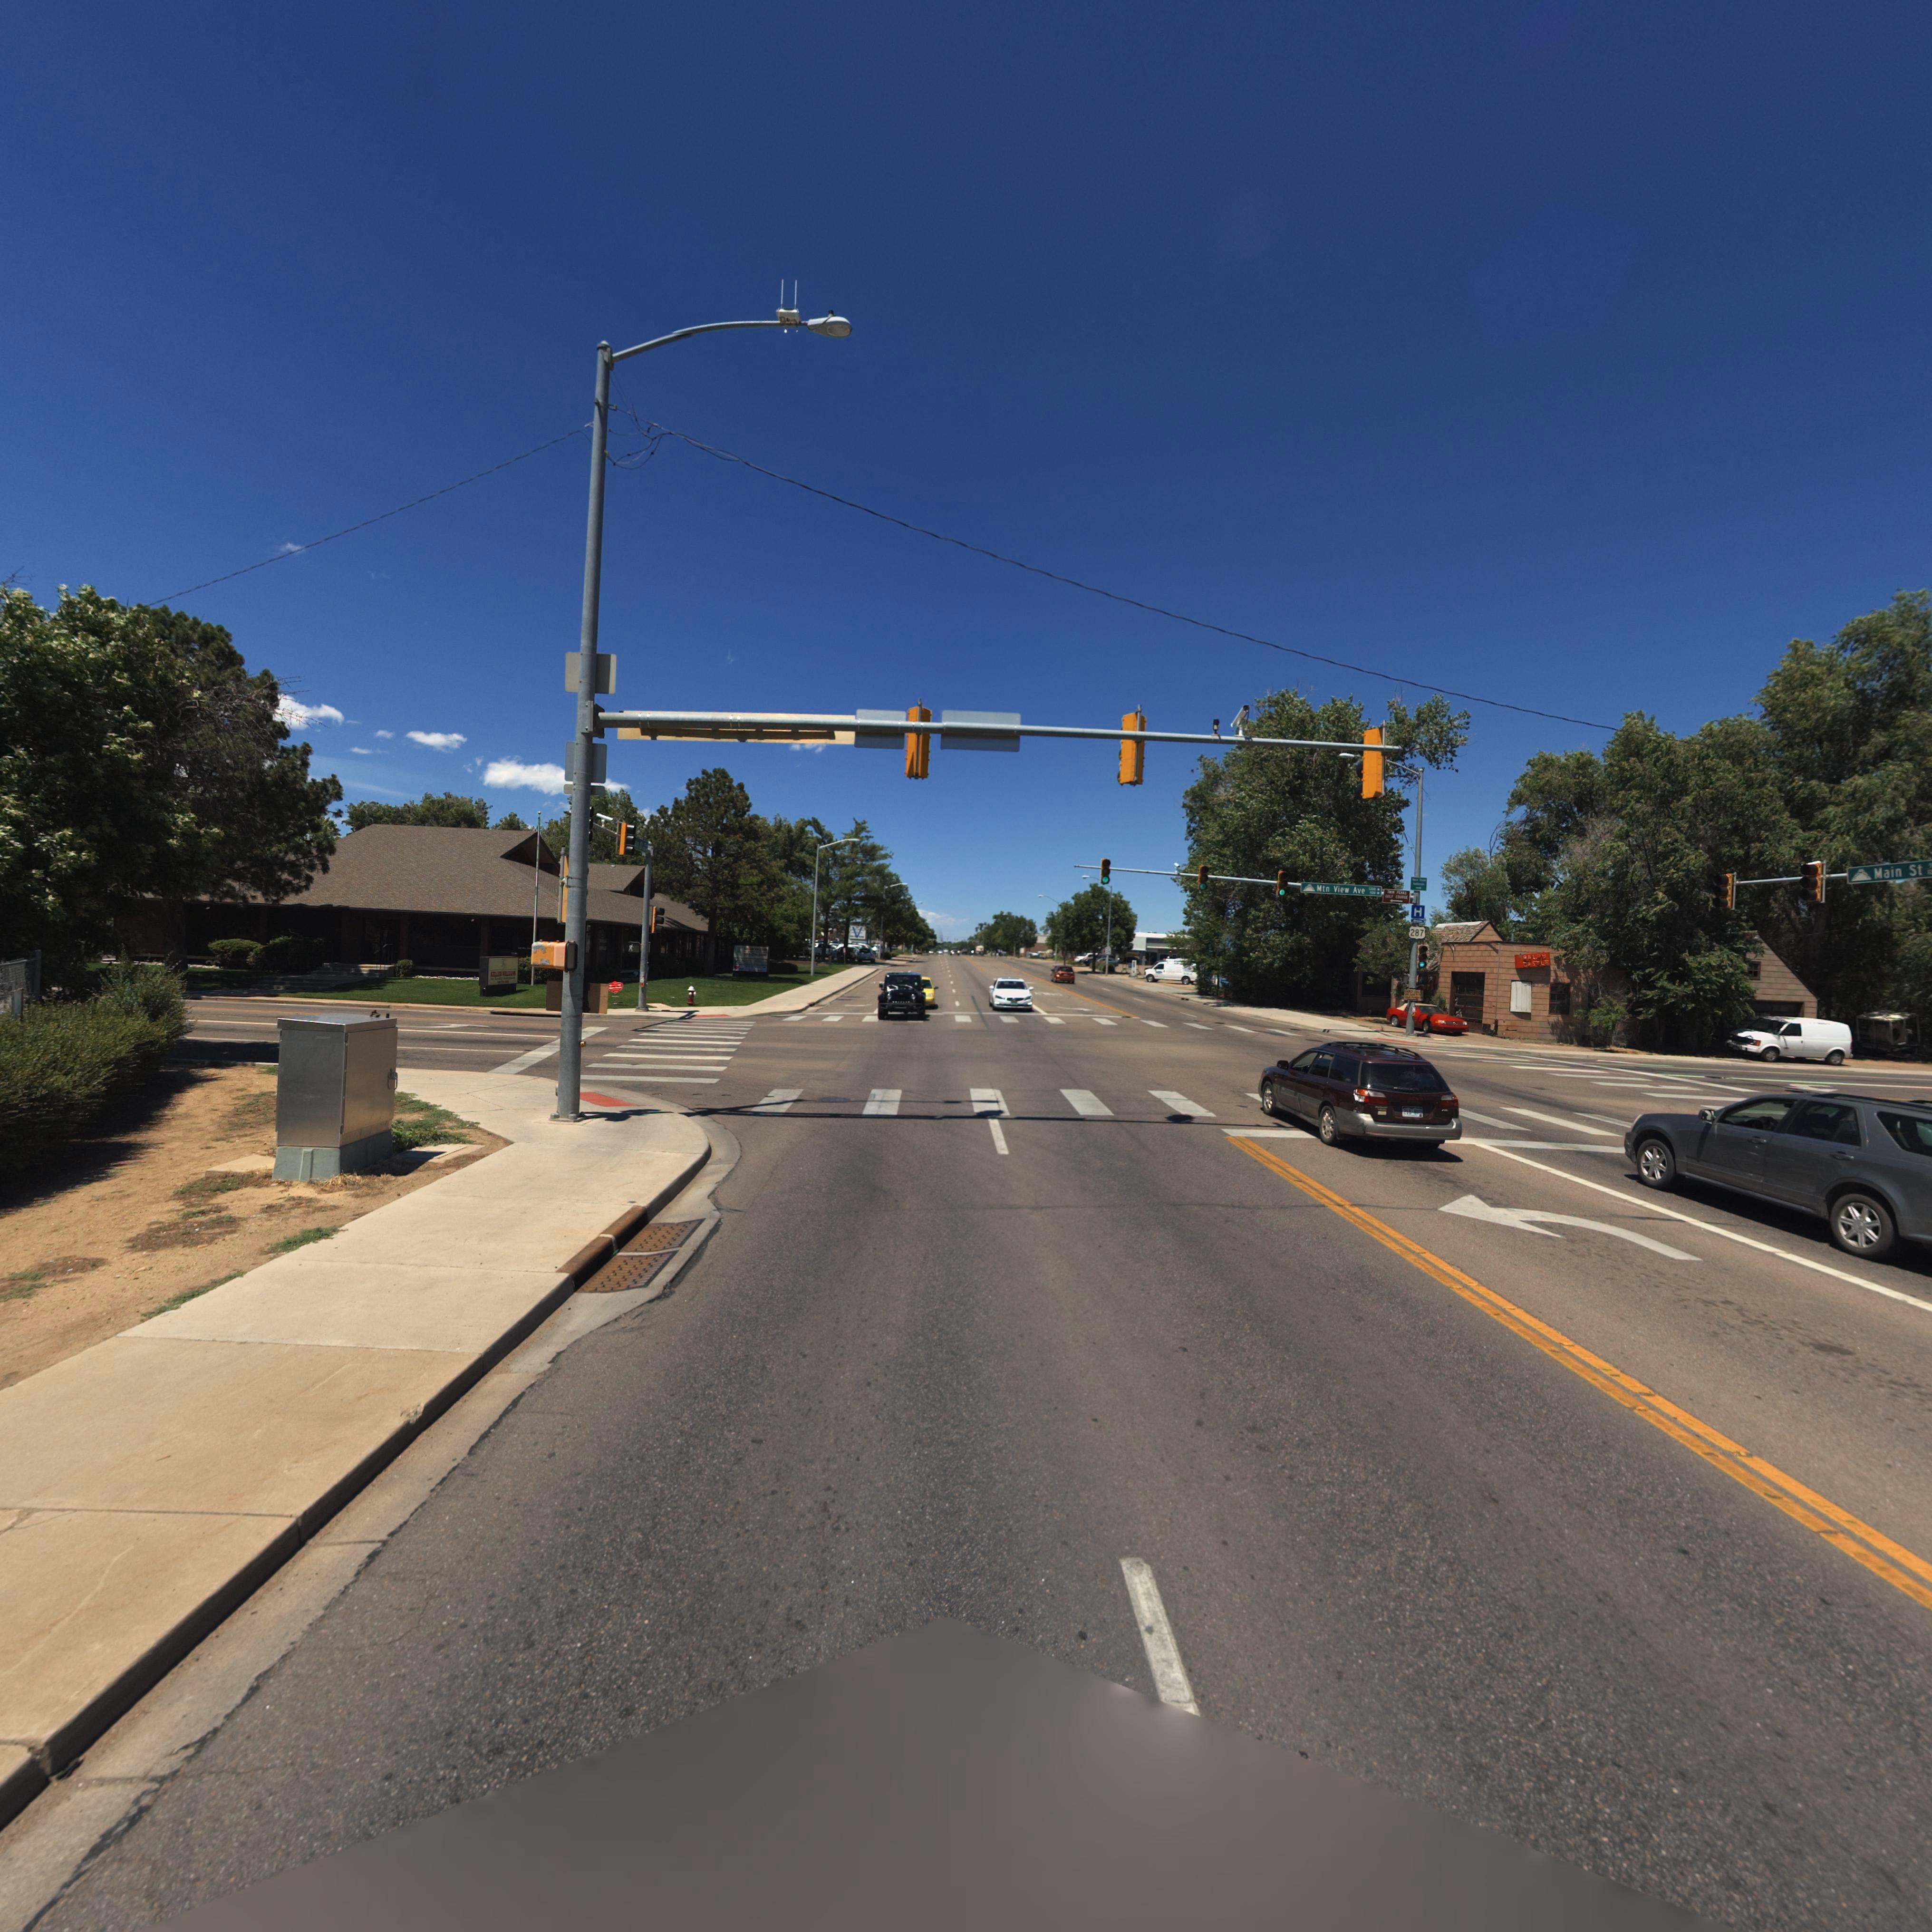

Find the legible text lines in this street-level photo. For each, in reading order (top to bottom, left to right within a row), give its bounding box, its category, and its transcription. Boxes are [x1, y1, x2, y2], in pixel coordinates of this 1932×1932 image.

[634, 839, 643, 849] StreetName: ain St
[1874, 863, 1922, 879] StreetName: Main St
[1316, 884, 1365, 894] StreetName: Mtn View Ave
[1368, 887, 1376, 890] StreetNumberRange: 1300
[1369, 891, 1380, 894] StreetNumberRange: 500 ->
[744, 947, 767, 951] BusinessName: KELLER WILLIAMS
[1523, 954, 1546, 960] BusinessName: RALPH
[1522, 959, 1549, 967] BusinessName: CASTLE
[490, 970, 516, 977] BusinessName: KELLER WILLIAMS
[490, 976, 515, 981] BusinessName: 1st Realty Associates